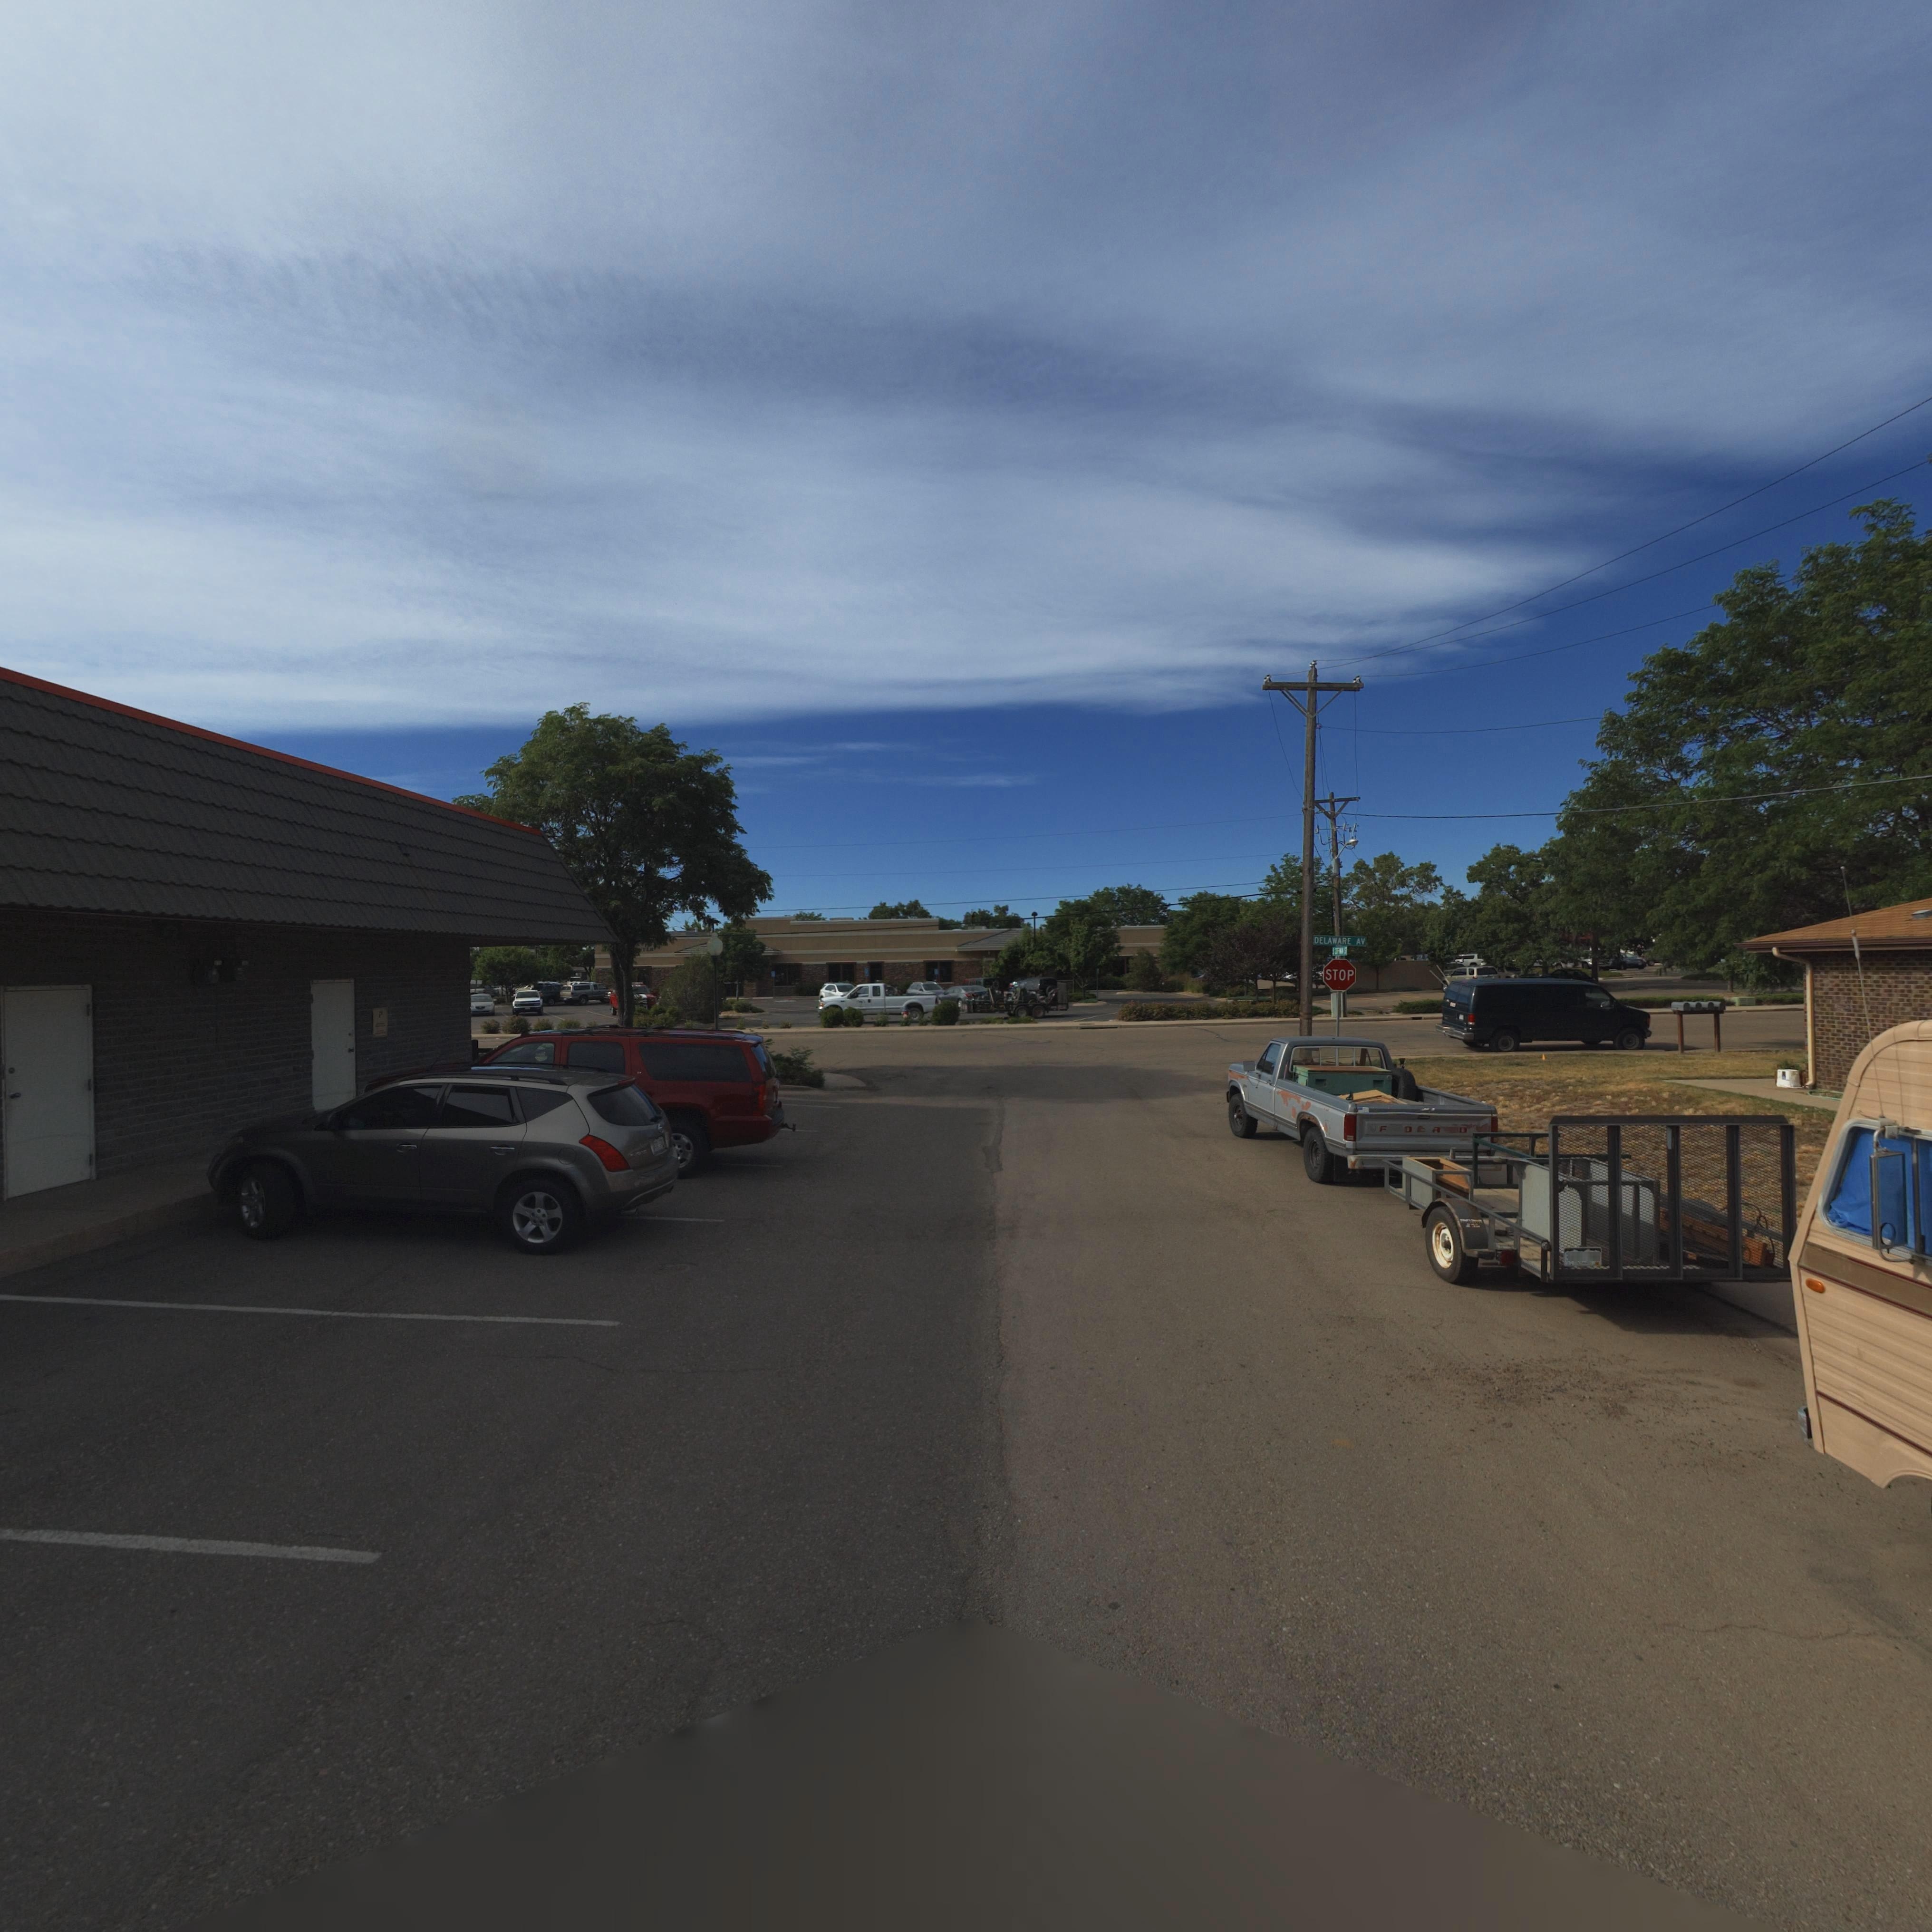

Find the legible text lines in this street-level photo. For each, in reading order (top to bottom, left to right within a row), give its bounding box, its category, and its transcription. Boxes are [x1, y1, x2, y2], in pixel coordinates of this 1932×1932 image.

[1314, 936, 1366, 945] StreetName: DELAWARE AV